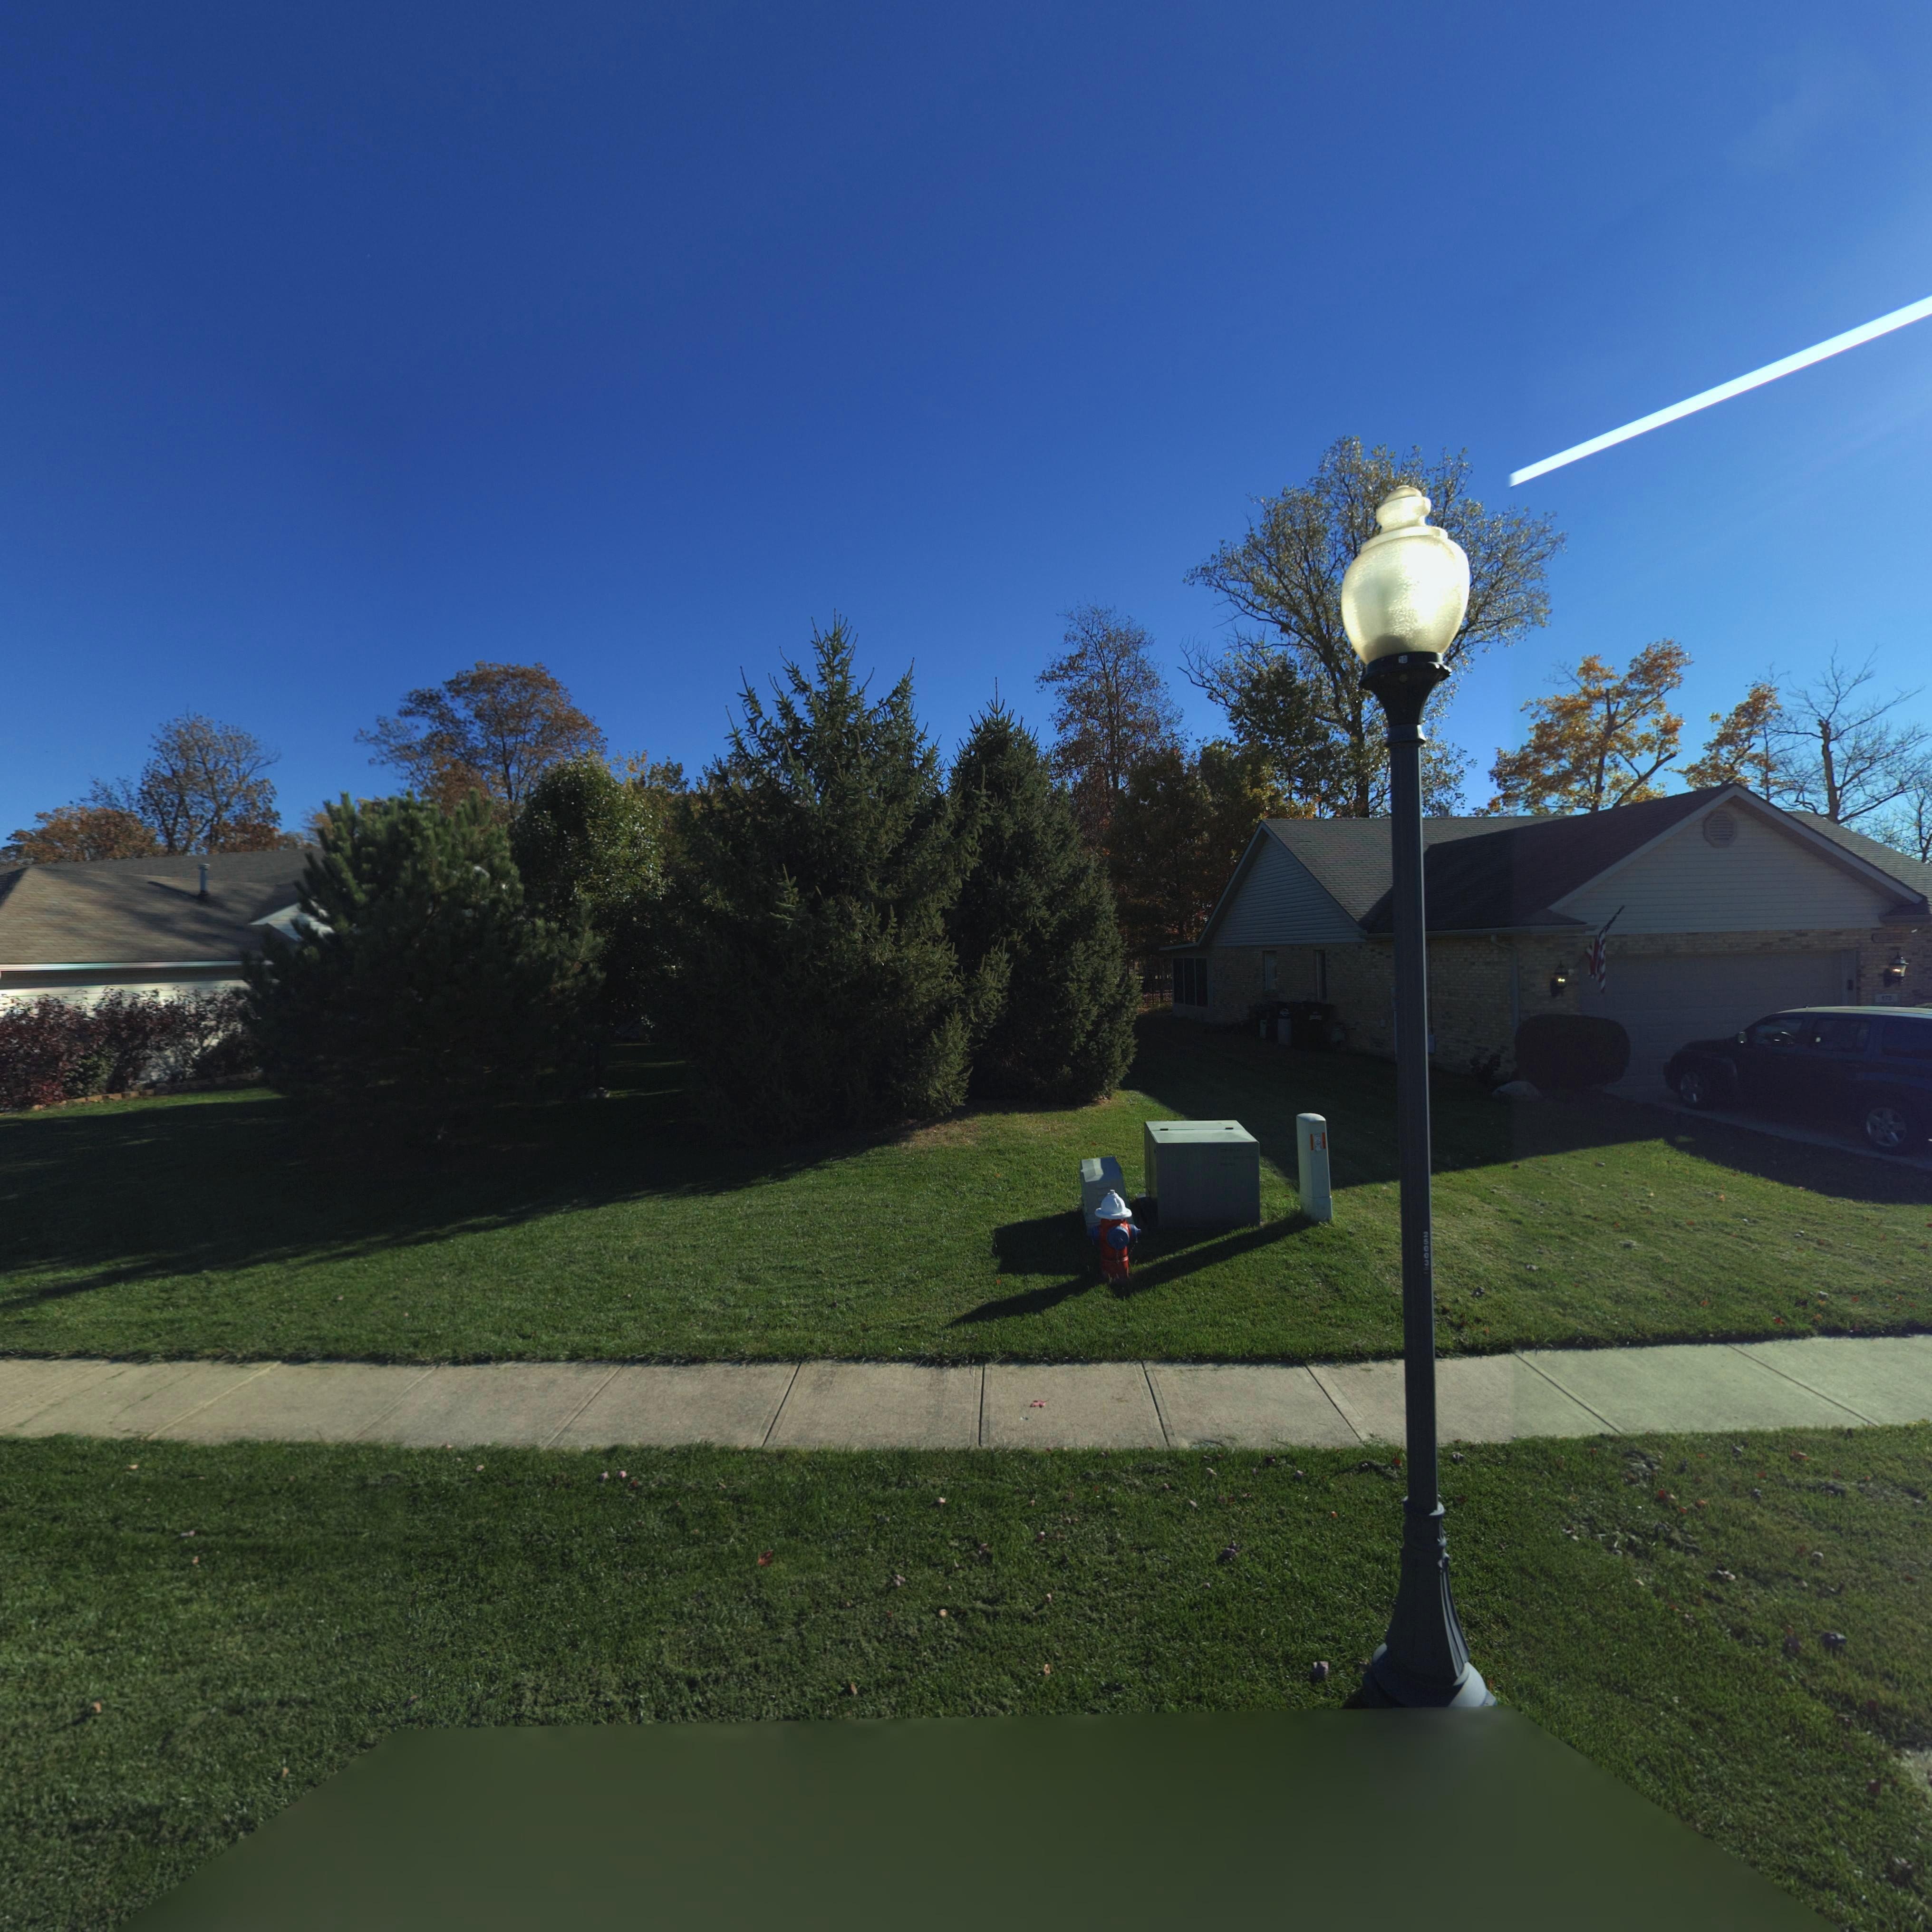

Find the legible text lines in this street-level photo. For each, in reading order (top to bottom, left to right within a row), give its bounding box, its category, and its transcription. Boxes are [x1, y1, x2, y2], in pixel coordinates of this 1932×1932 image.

[1881, 995, 1893, 1002] StreetNumber: 17*